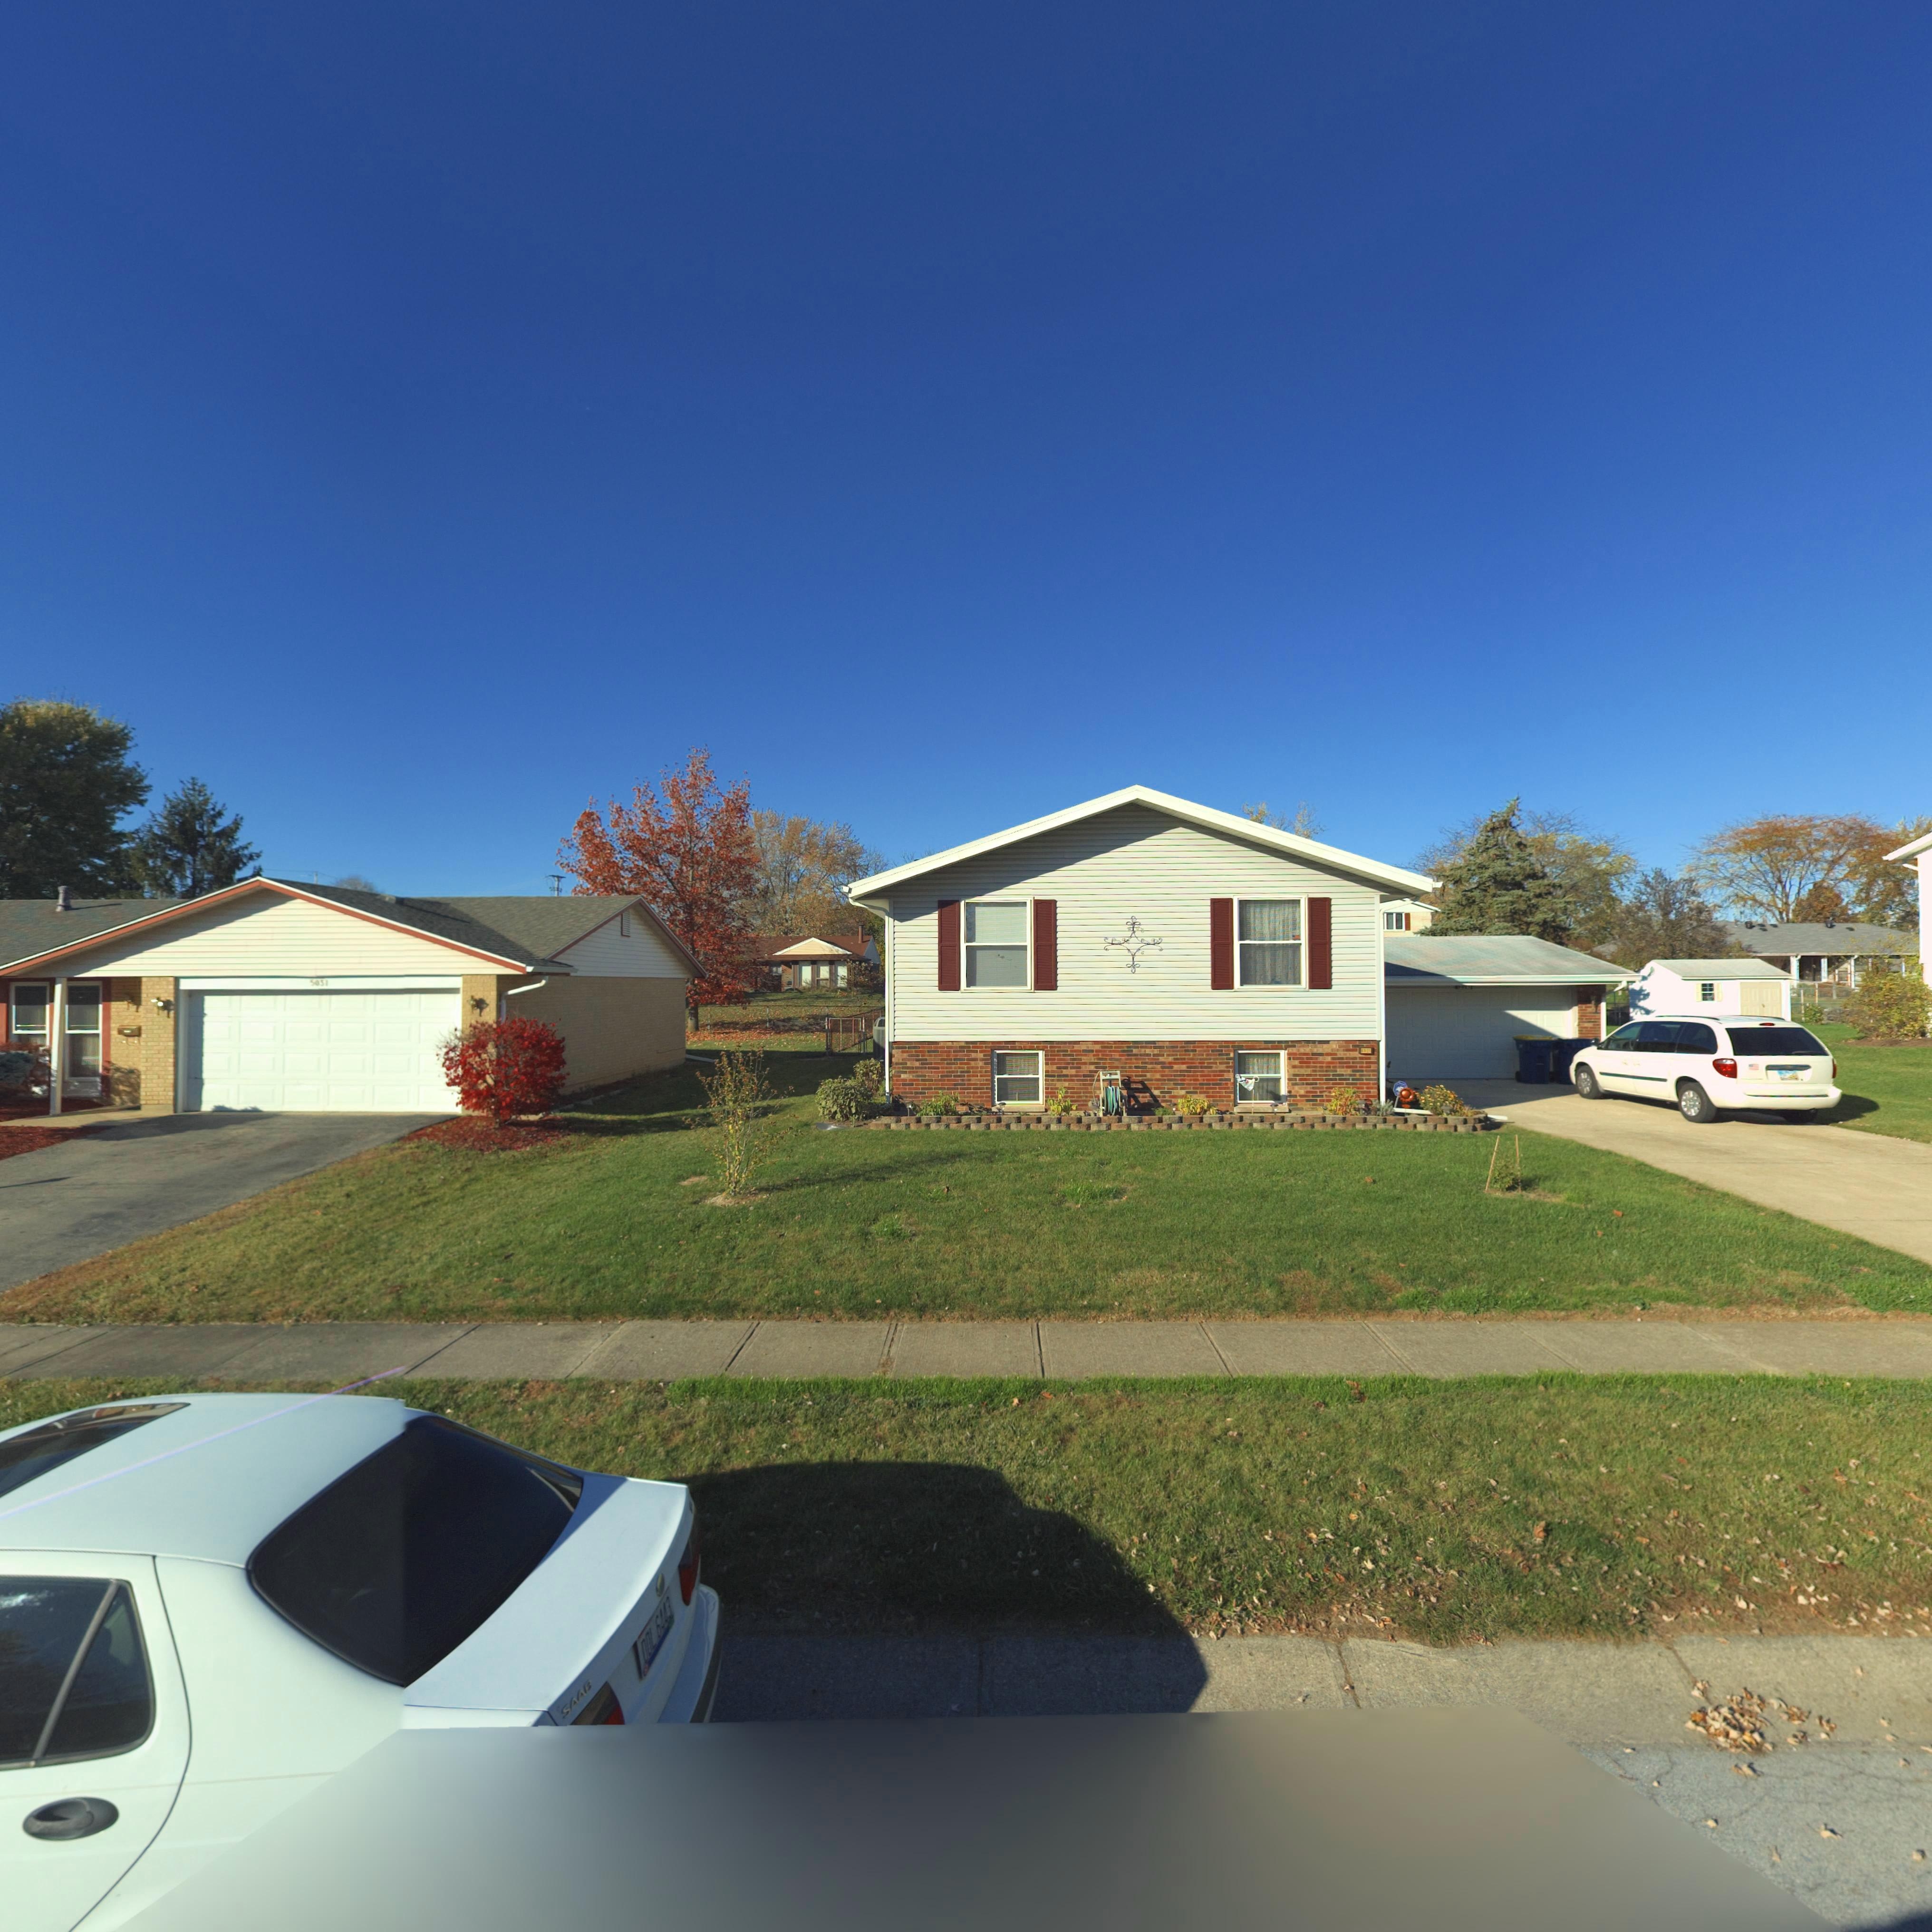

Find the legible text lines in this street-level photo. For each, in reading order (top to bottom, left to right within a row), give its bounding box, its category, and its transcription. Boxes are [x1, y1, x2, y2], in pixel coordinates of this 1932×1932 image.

[309, 979, 328, 987] StreetNumber: 5031
[1361, 1048, 1371, 1053] StreetNumber: *021